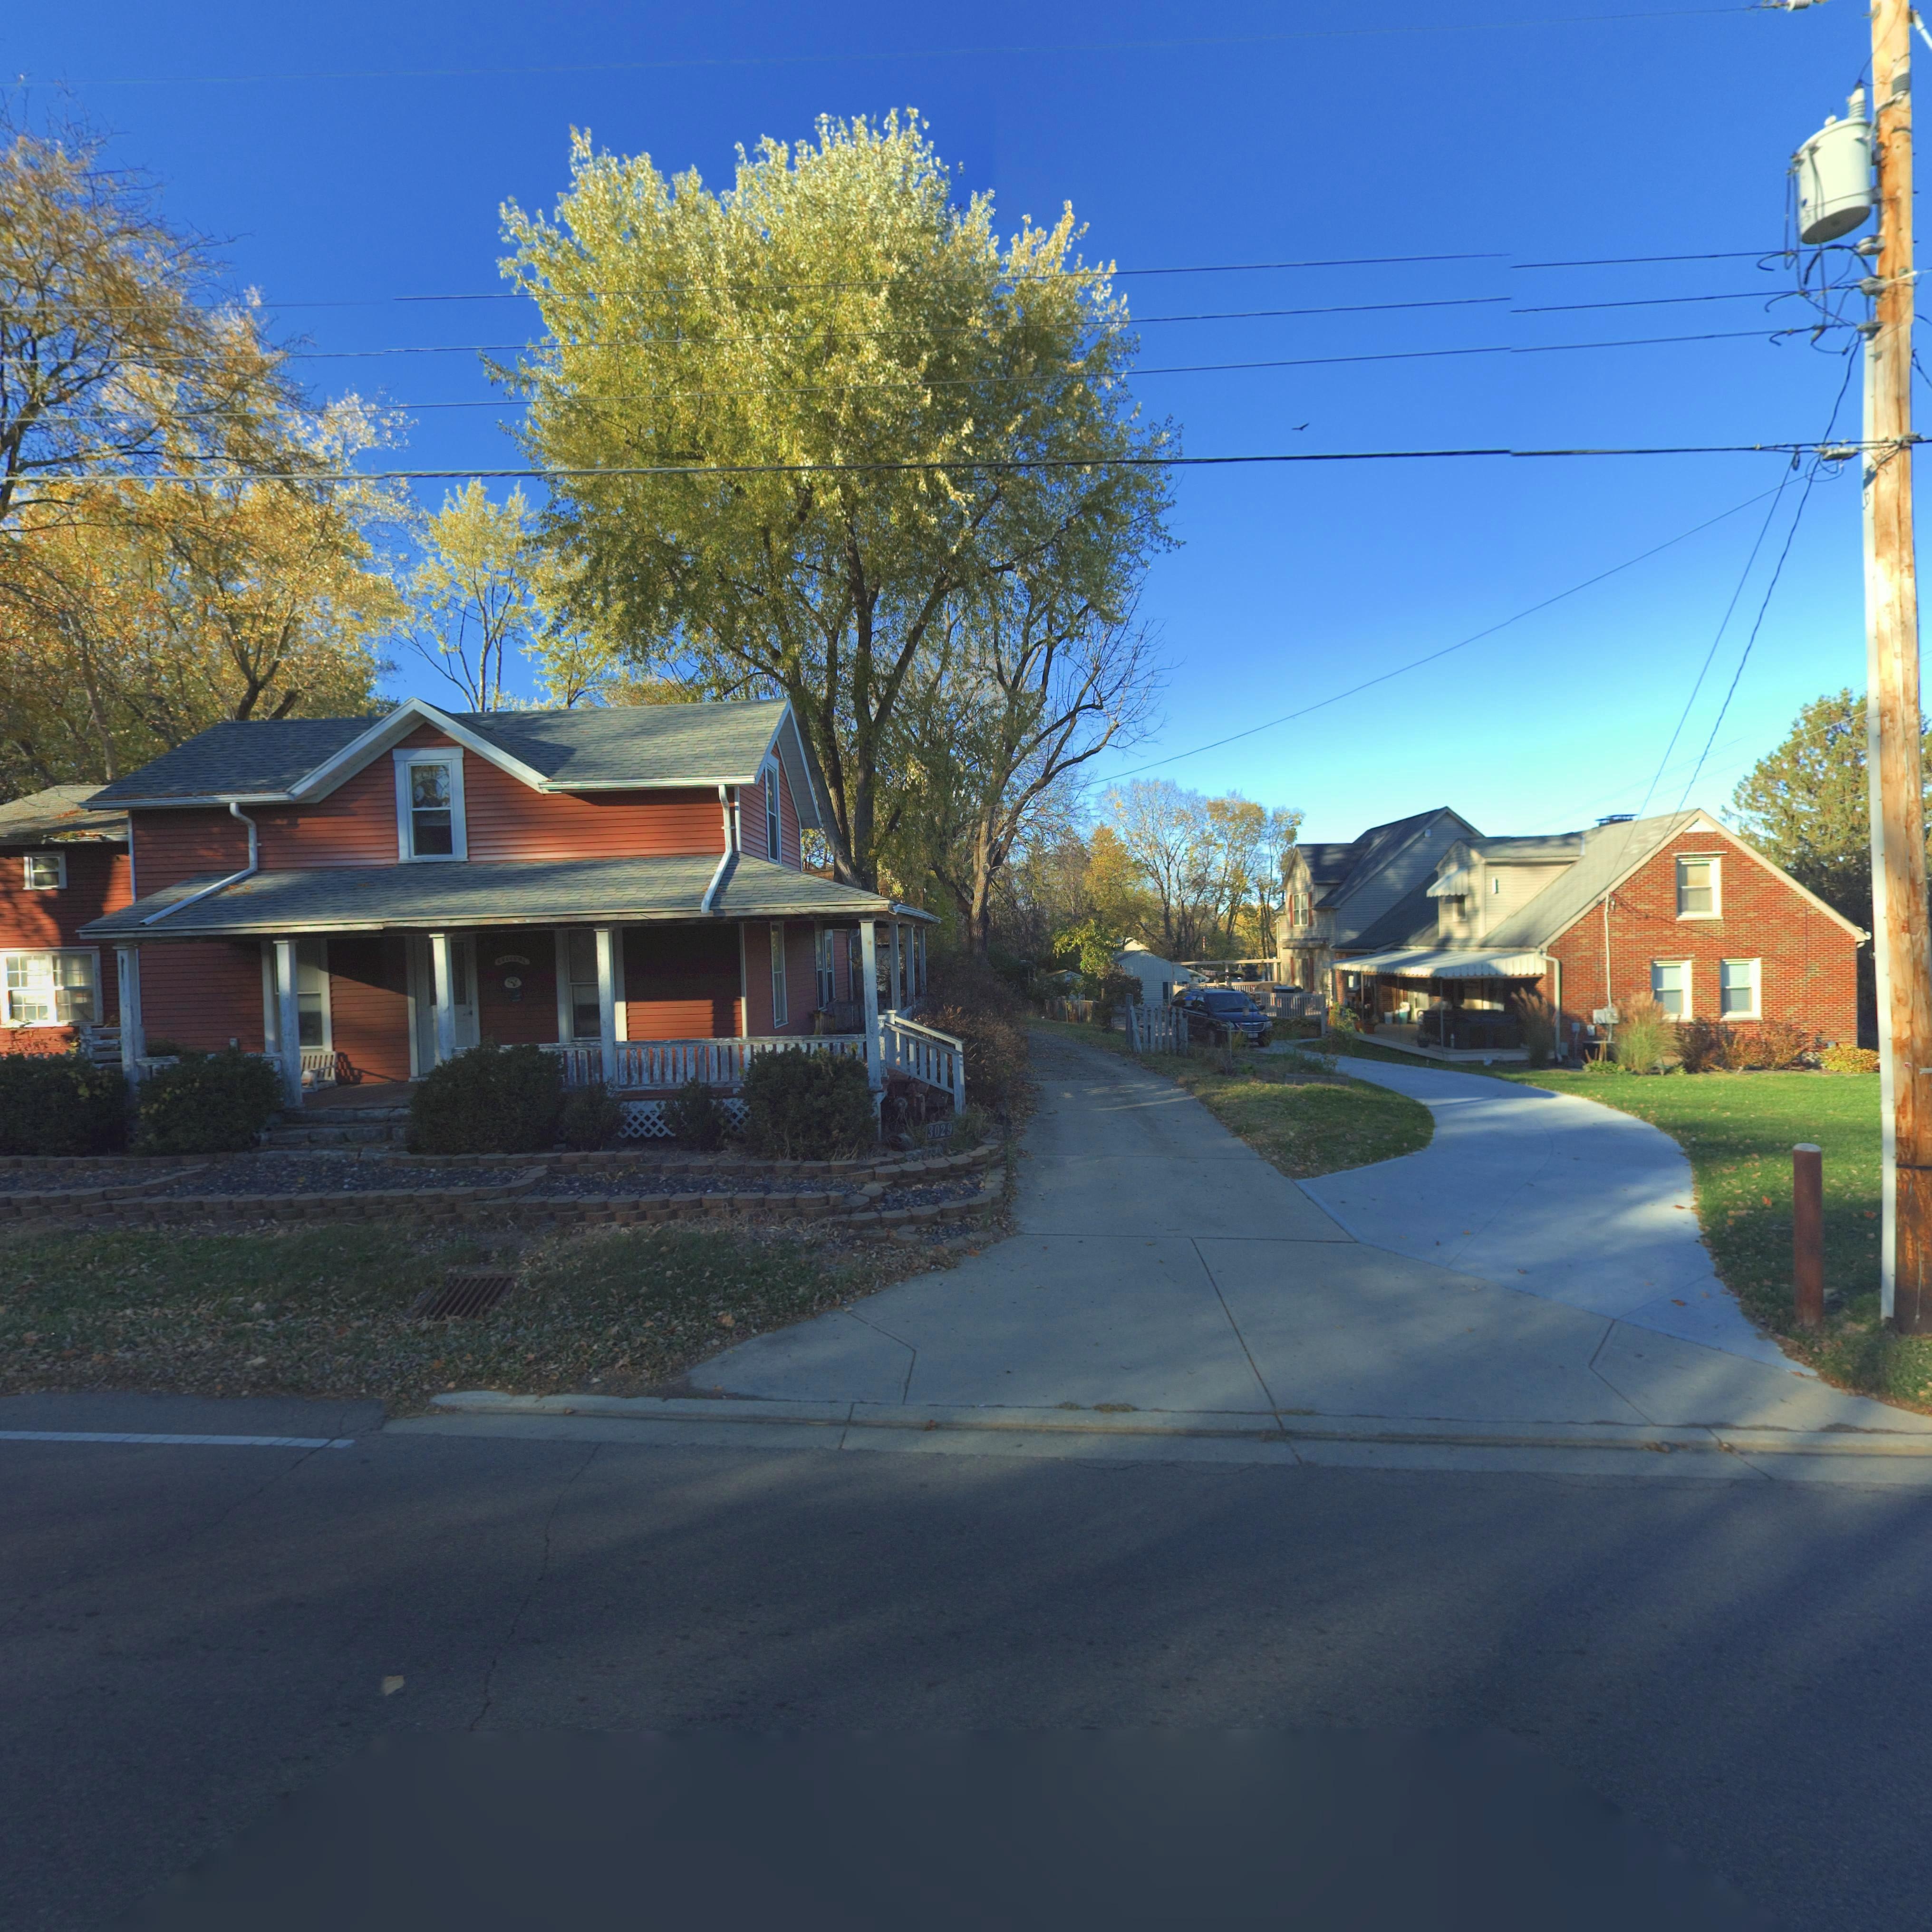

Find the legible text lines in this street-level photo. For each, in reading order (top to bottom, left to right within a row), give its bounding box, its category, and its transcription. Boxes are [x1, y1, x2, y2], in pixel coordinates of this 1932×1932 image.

[927, 1122, 953, 1140] StreetNumber: 3029